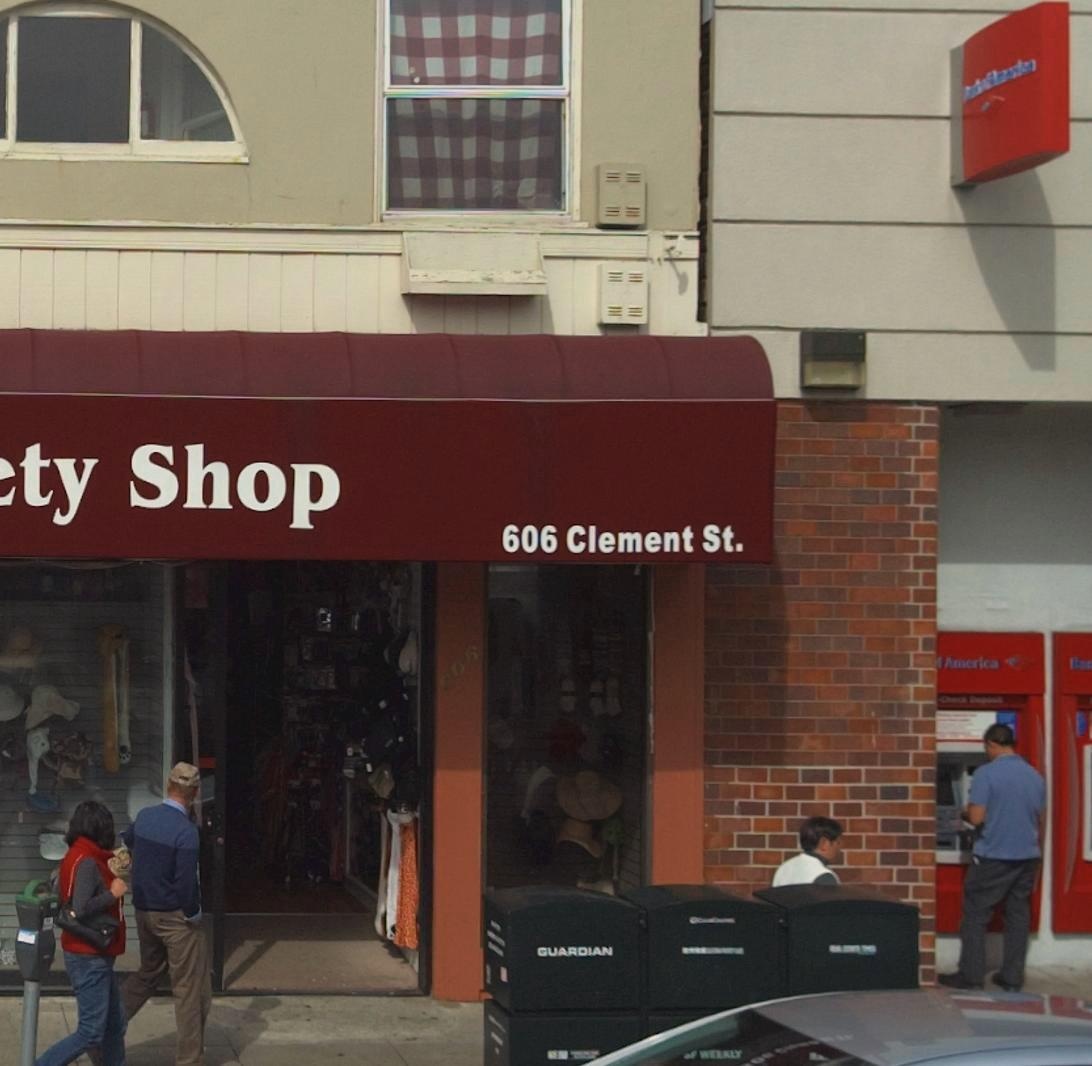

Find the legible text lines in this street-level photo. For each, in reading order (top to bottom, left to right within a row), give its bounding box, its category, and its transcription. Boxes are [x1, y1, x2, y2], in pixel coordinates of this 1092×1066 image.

[18, 441, 341, 531] BusinessName: ty Shop
[501, 523, 558, 554] StreetNumber: 606
[564, 523, 745, 555] StreetName: Clement St.
[536, 946, 614, 958] None: GUARDIAN